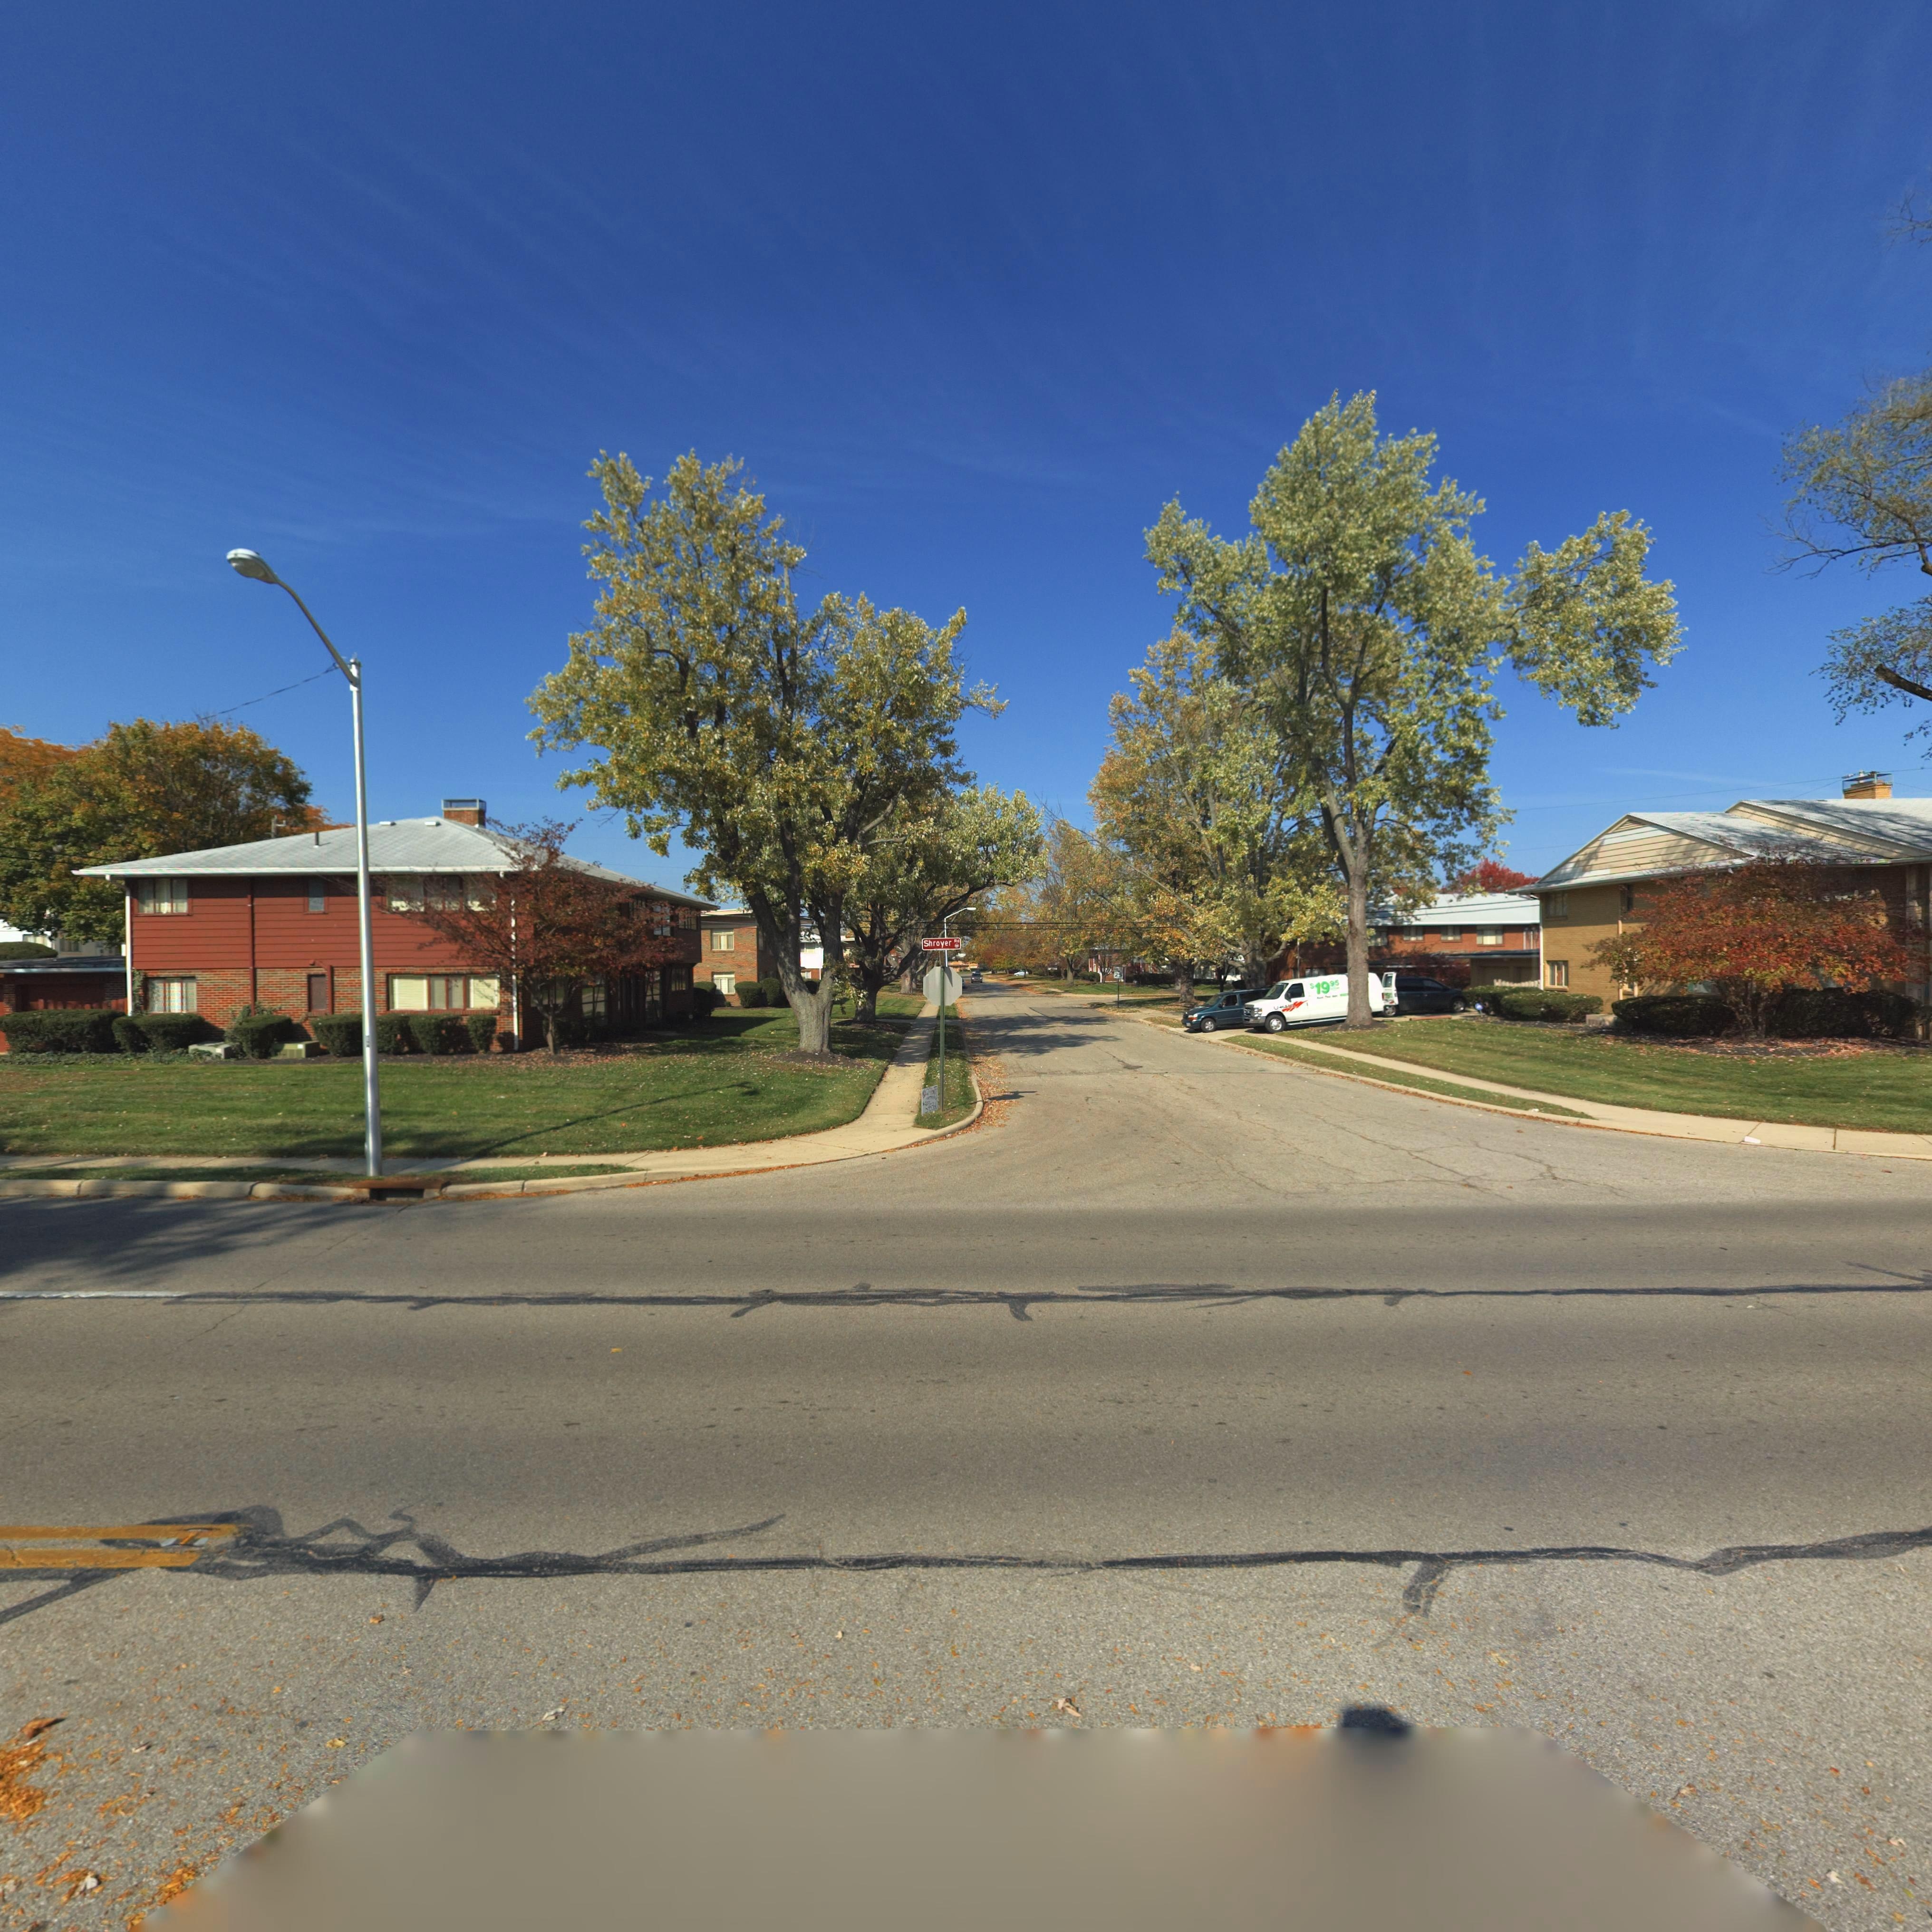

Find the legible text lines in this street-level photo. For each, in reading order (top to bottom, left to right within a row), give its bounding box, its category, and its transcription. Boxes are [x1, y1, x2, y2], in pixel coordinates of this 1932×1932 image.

[922, 938, 960, 949] StreetName: Shroyer Rd
[1113, 972, 1120, 978] None: 2